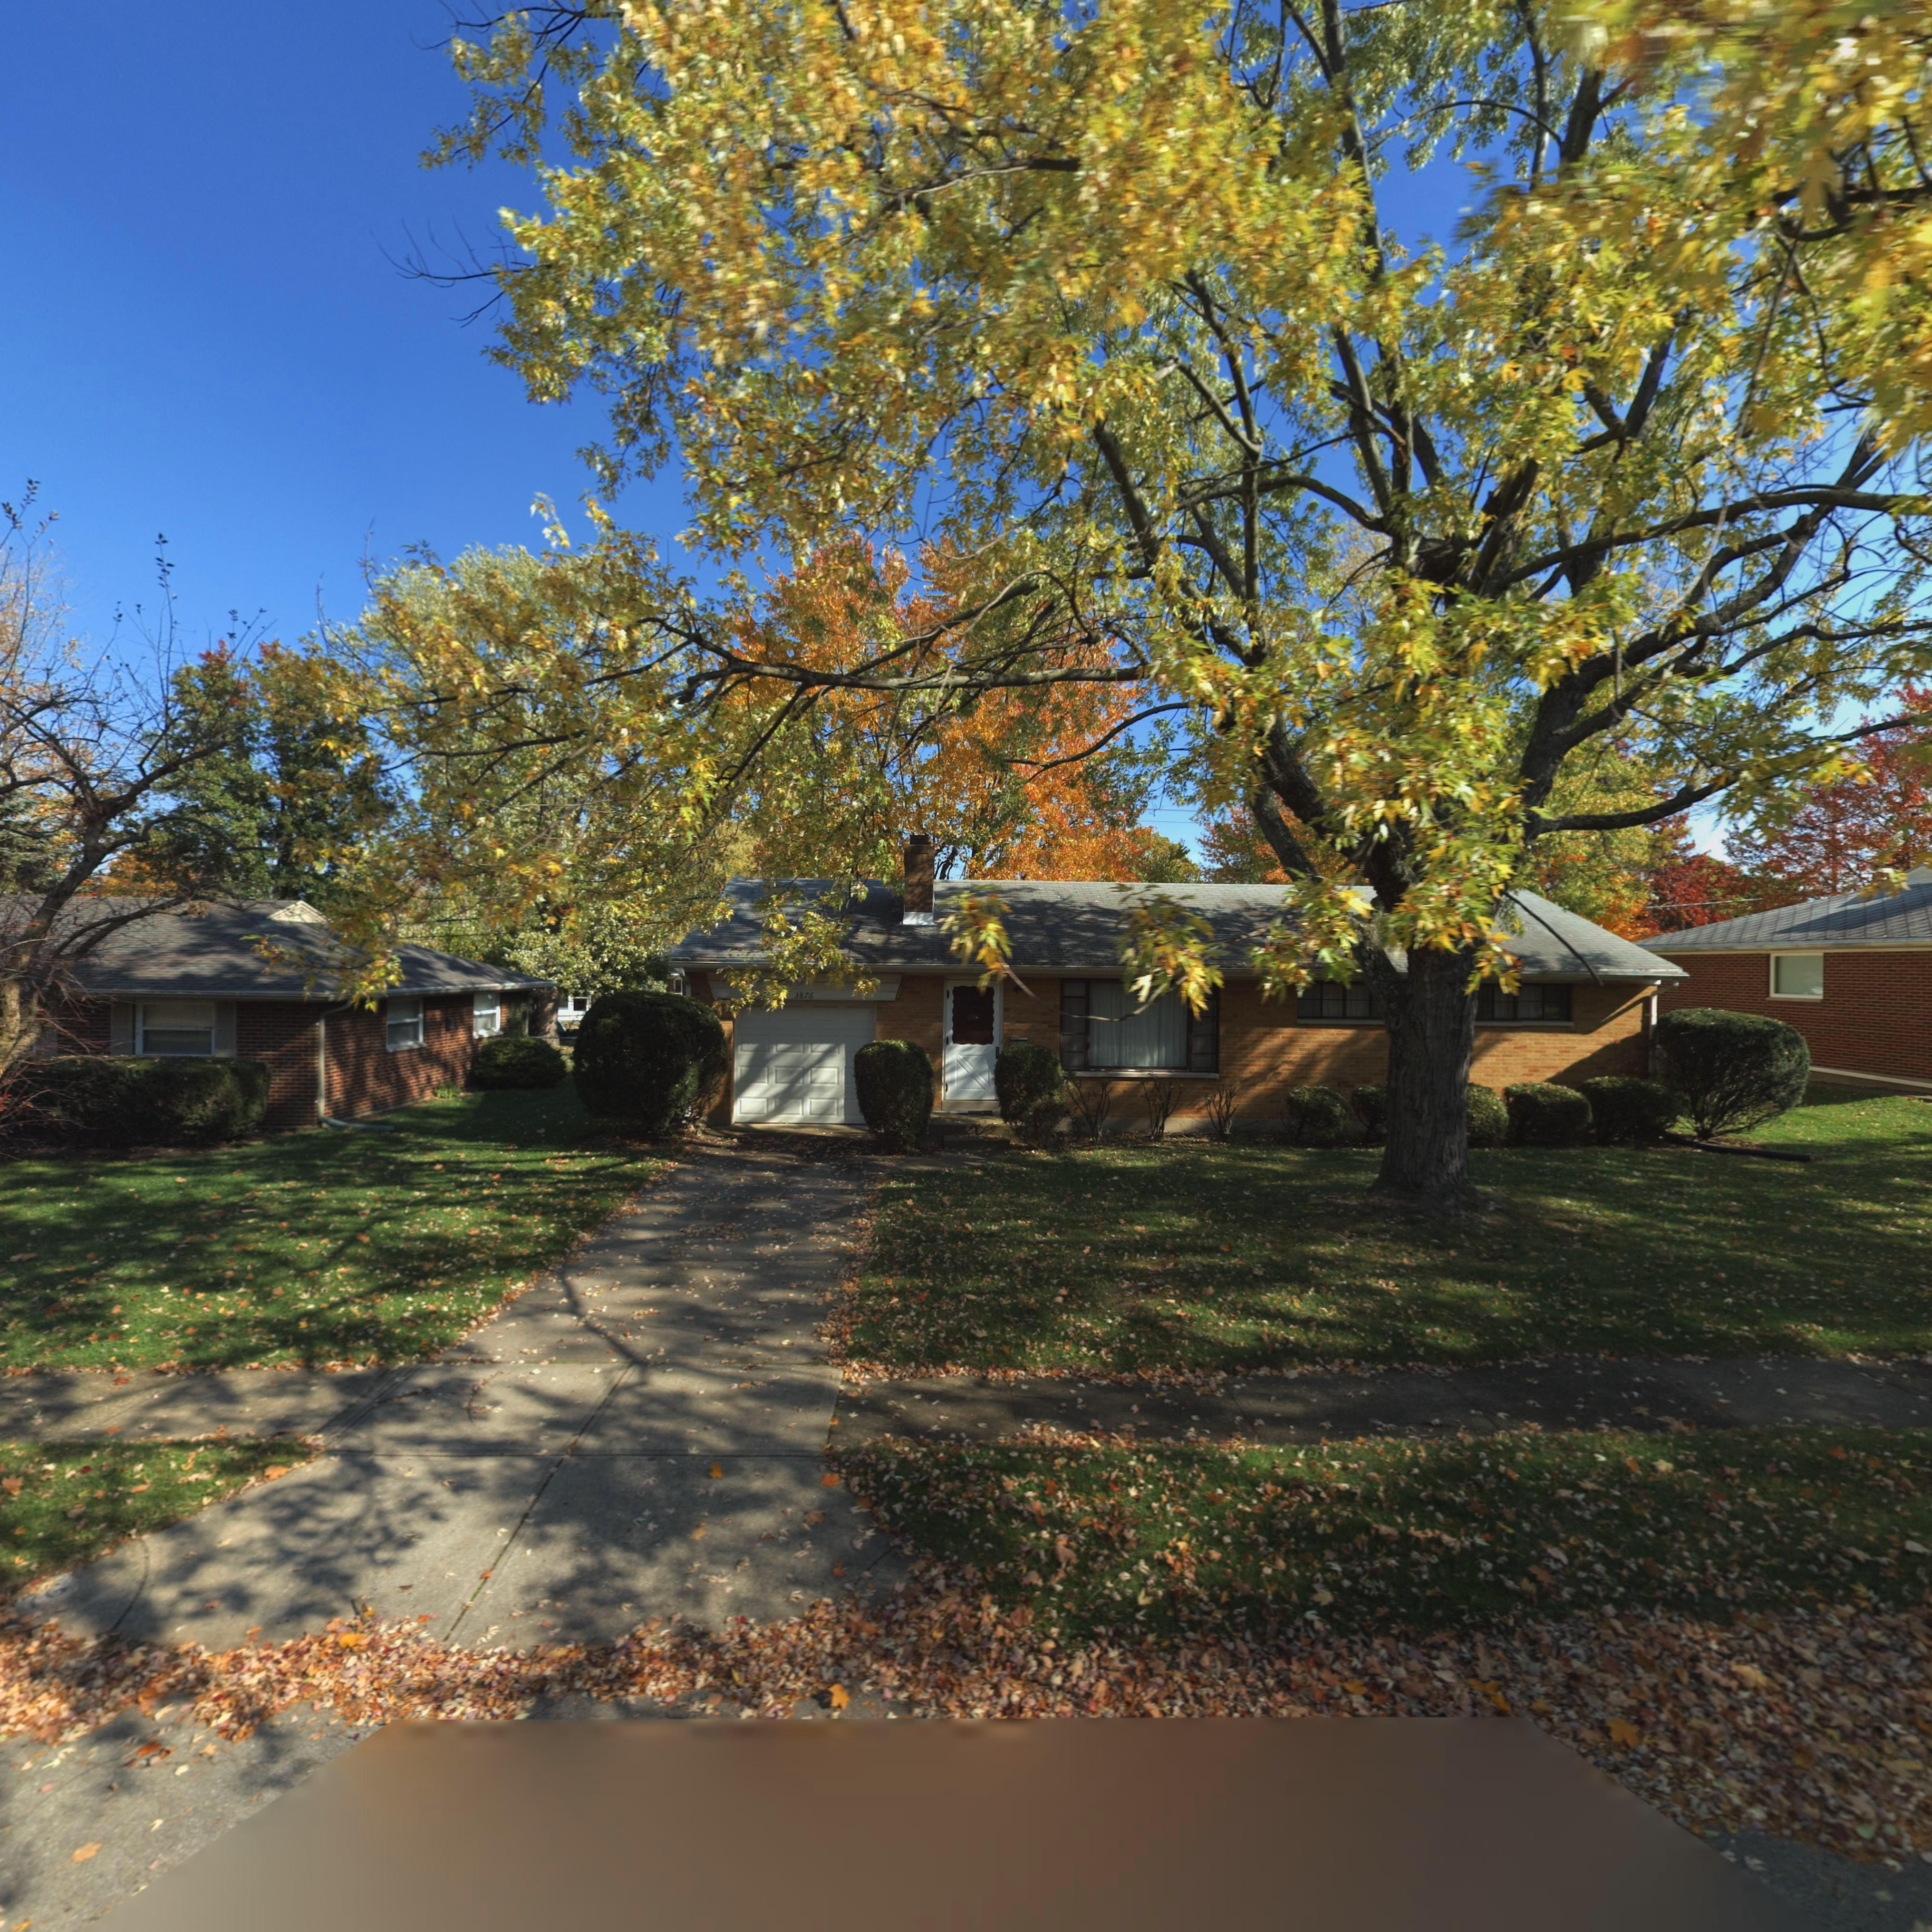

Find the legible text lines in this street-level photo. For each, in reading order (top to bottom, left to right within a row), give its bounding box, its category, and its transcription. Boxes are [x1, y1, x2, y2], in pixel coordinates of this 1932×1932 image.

[794, 991, 814, 1000] StreetNumber: 3876